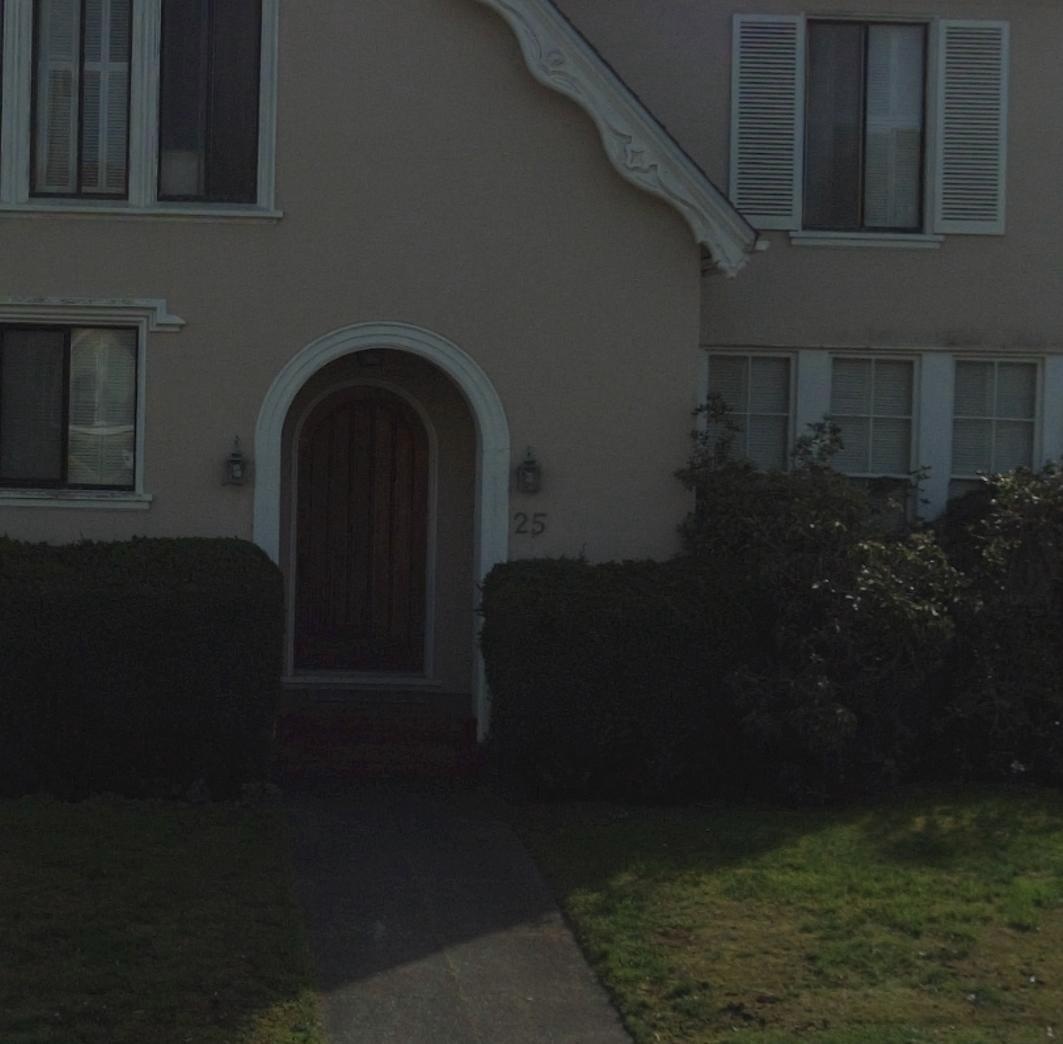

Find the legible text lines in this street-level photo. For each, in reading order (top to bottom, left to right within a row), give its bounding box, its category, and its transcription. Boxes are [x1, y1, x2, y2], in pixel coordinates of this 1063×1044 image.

[512, 509, 549, 537] StreetNumber: 25